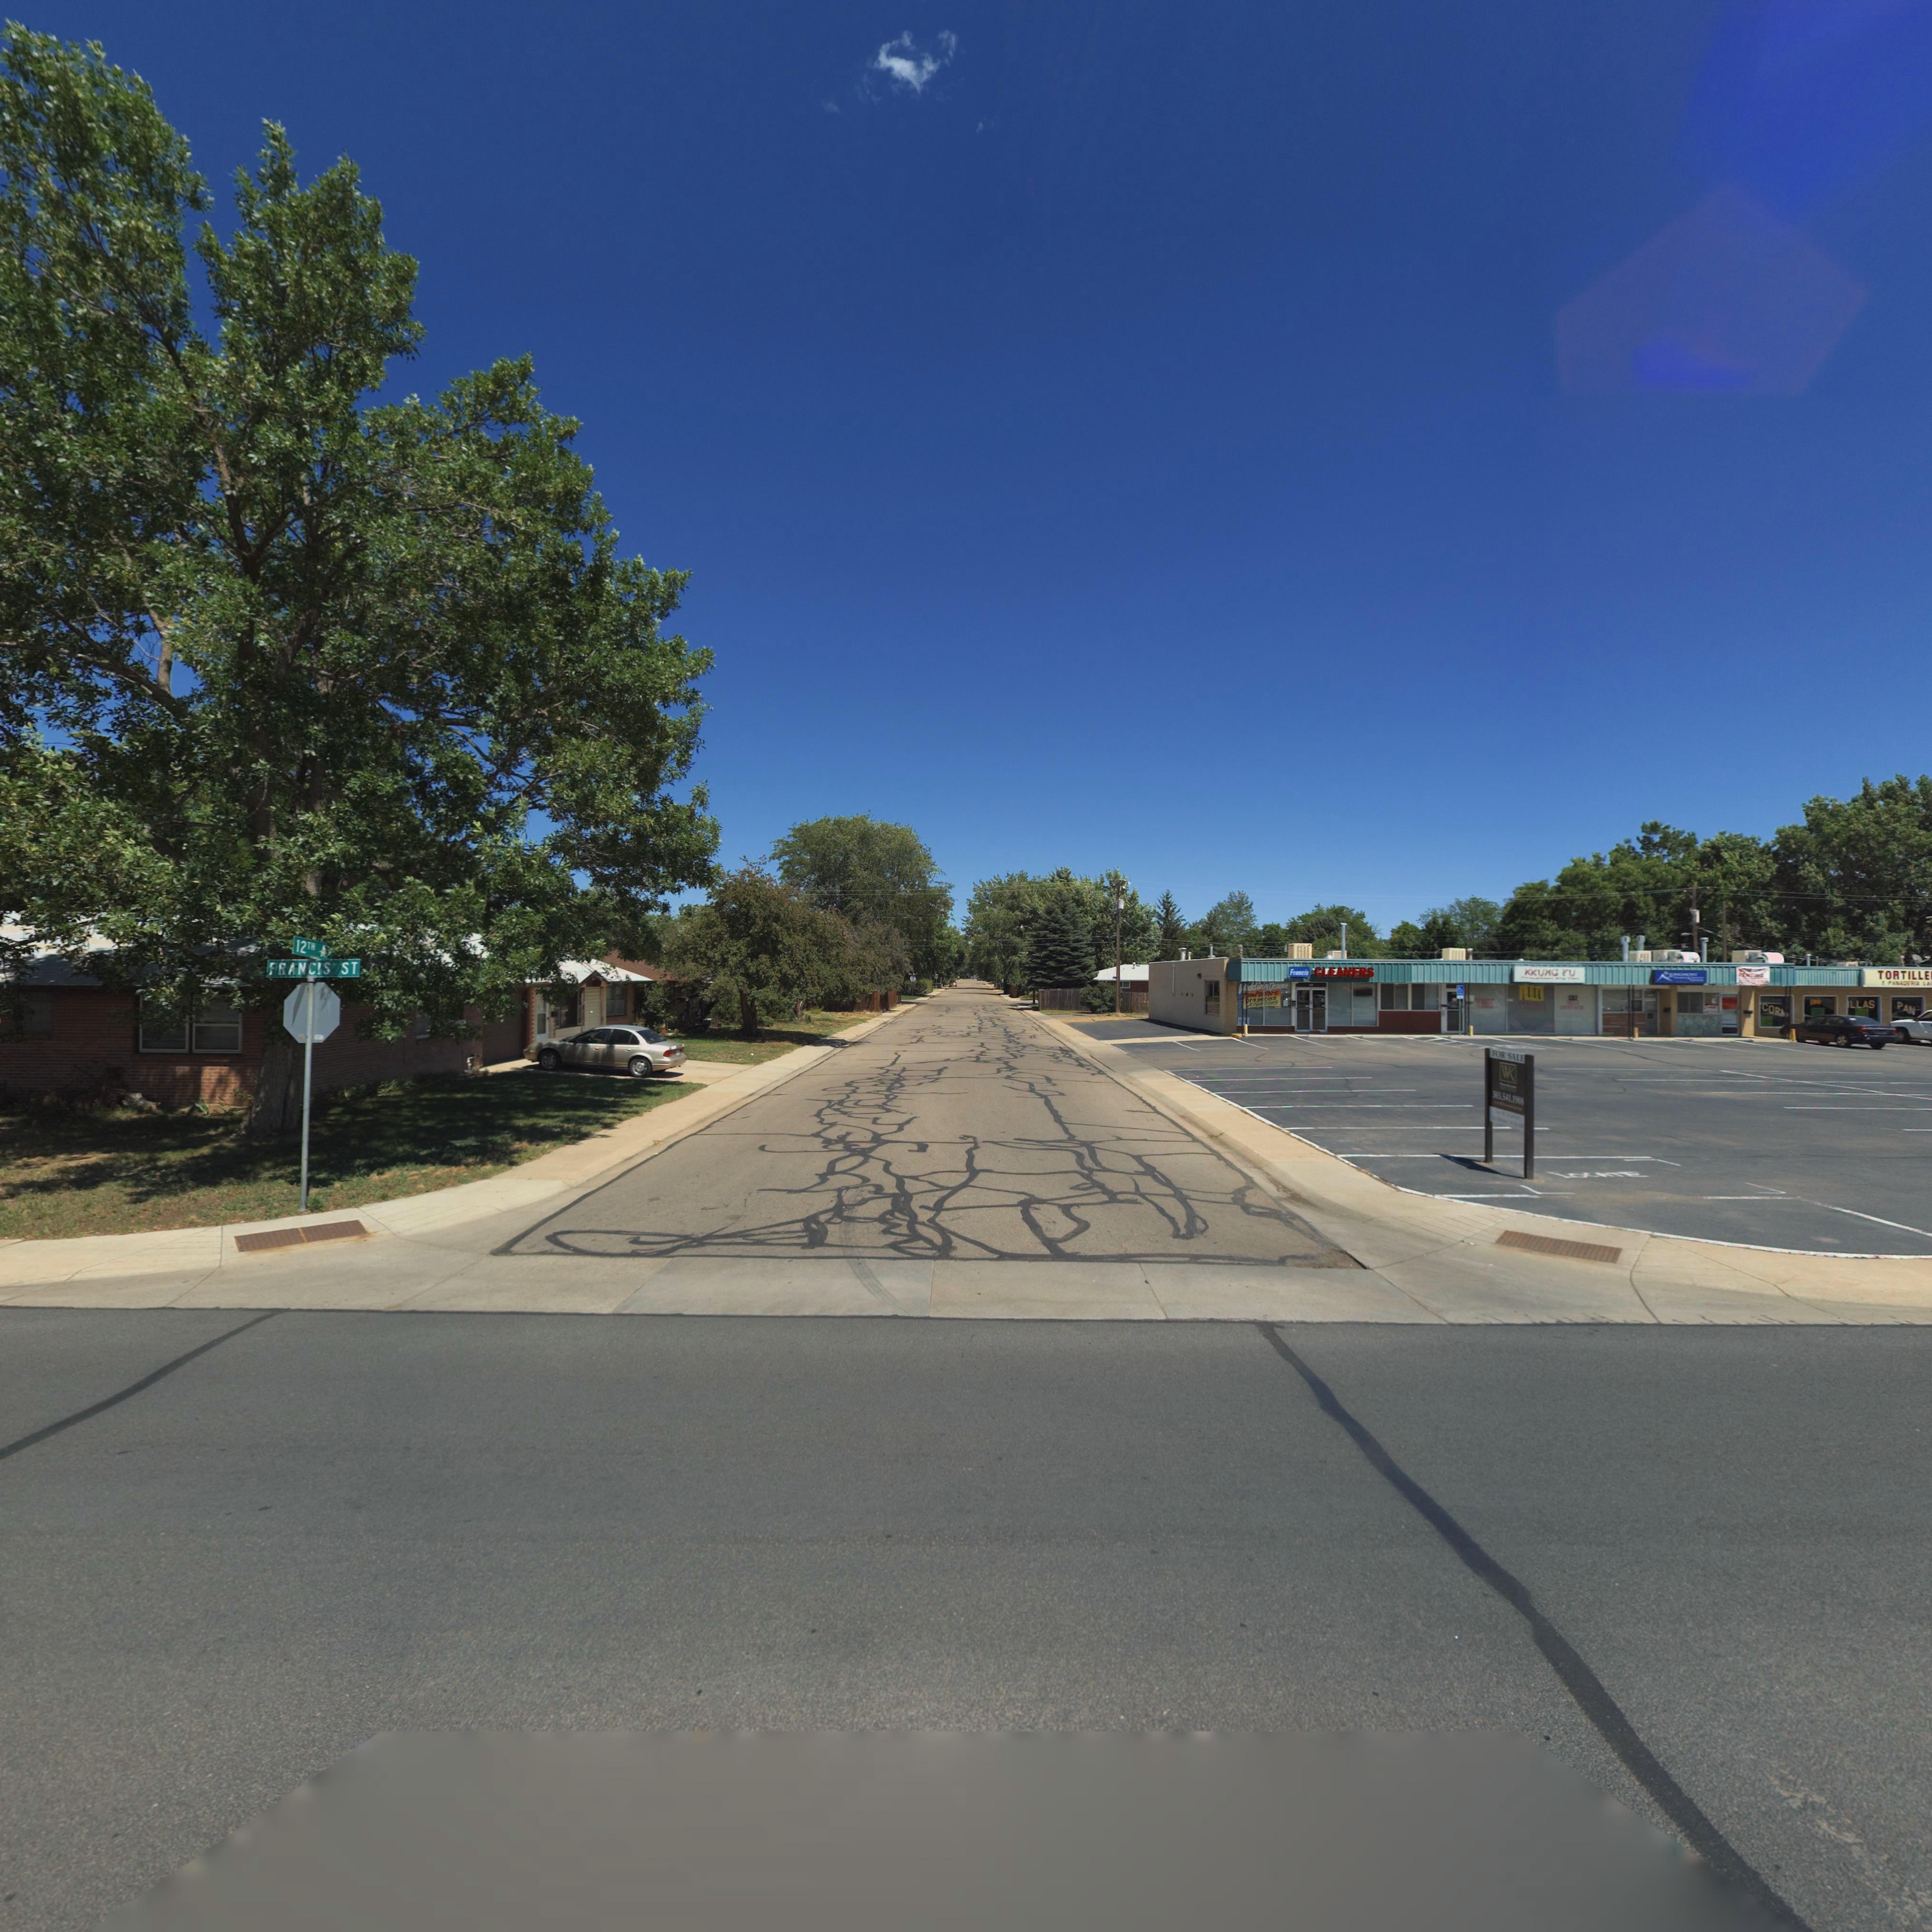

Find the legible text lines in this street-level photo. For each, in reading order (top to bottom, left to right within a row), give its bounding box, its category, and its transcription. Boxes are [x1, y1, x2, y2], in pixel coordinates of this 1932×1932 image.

[296, 939, 316, 954] StreetName: 12TH
[269, 962, 357, 975] StreetName: FRANCIS ST
[1289, 968, 1309, 975] StreetName: Francis
[1314, 966, 1374, 977] BusinessName: CLEANERS
[1525, 968, 1575, 976] BusinessName: KKUNG FU
[1669, 972, 1697, 977] BusinessName: LO*****T
[1877, 970, 1929, 980] BusinessName: TORTILLE